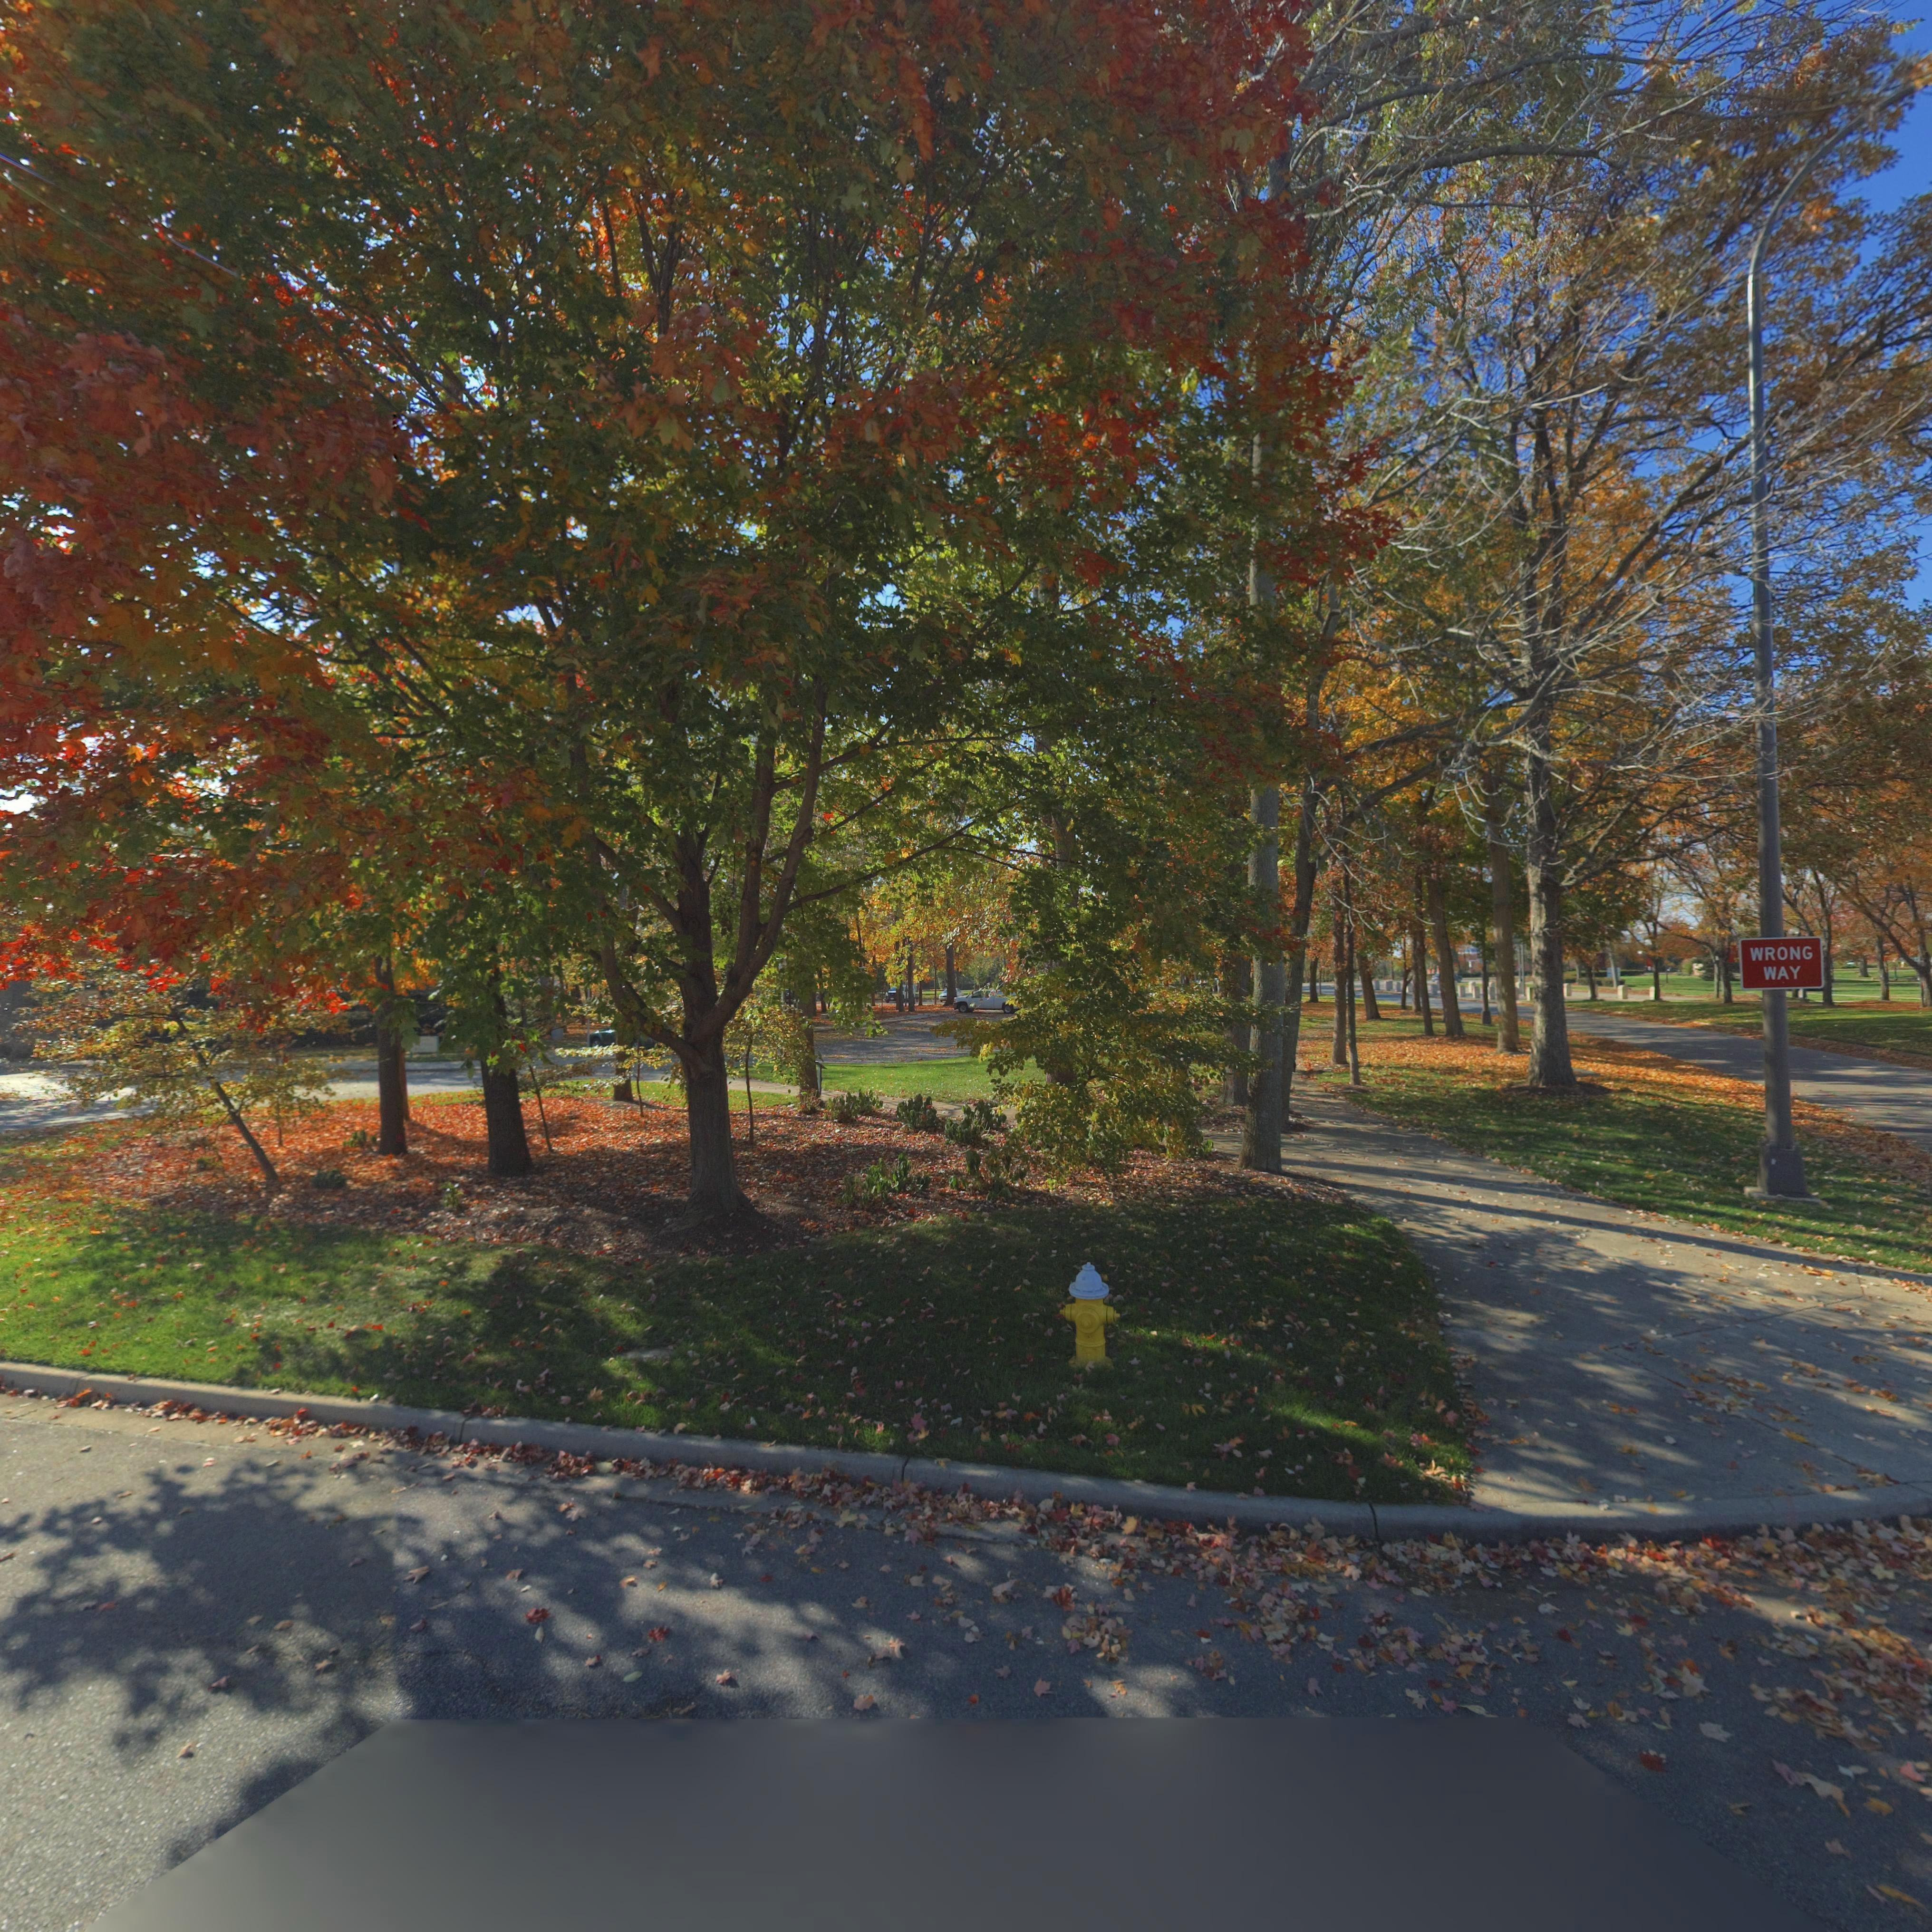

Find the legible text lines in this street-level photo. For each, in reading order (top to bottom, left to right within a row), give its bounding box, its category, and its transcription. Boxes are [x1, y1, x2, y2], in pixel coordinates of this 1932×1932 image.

[1749, 945, 1813, 962] None: WRONG
[1762, 965, 1802, 981] None: WAY